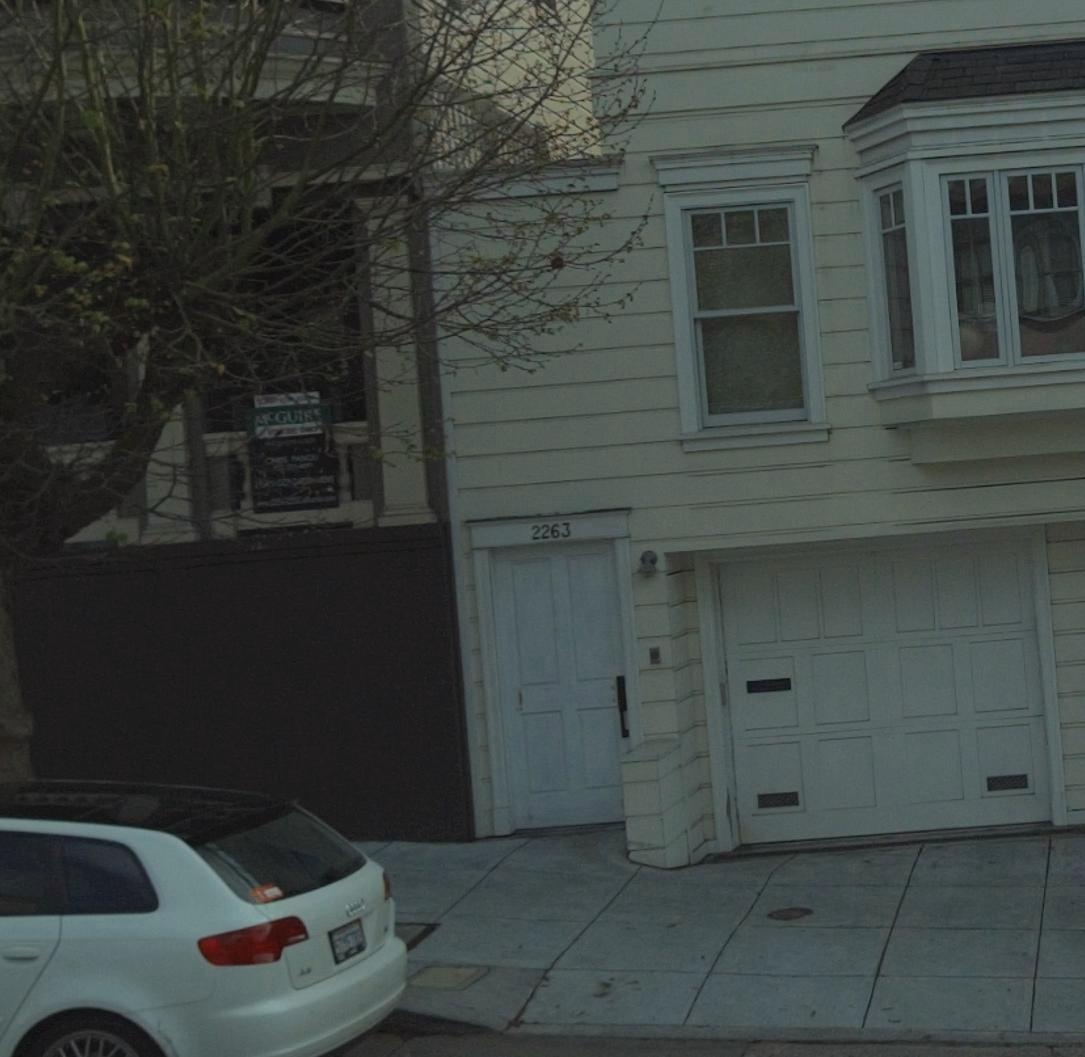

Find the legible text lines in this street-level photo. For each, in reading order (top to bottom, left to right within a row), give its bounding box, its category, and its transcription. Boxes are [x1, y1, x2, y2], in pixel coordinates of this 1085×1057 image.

[252, 403, 325, 429] None: McGUI**
[529, 519, 574, 543] StreetNumber: 2263